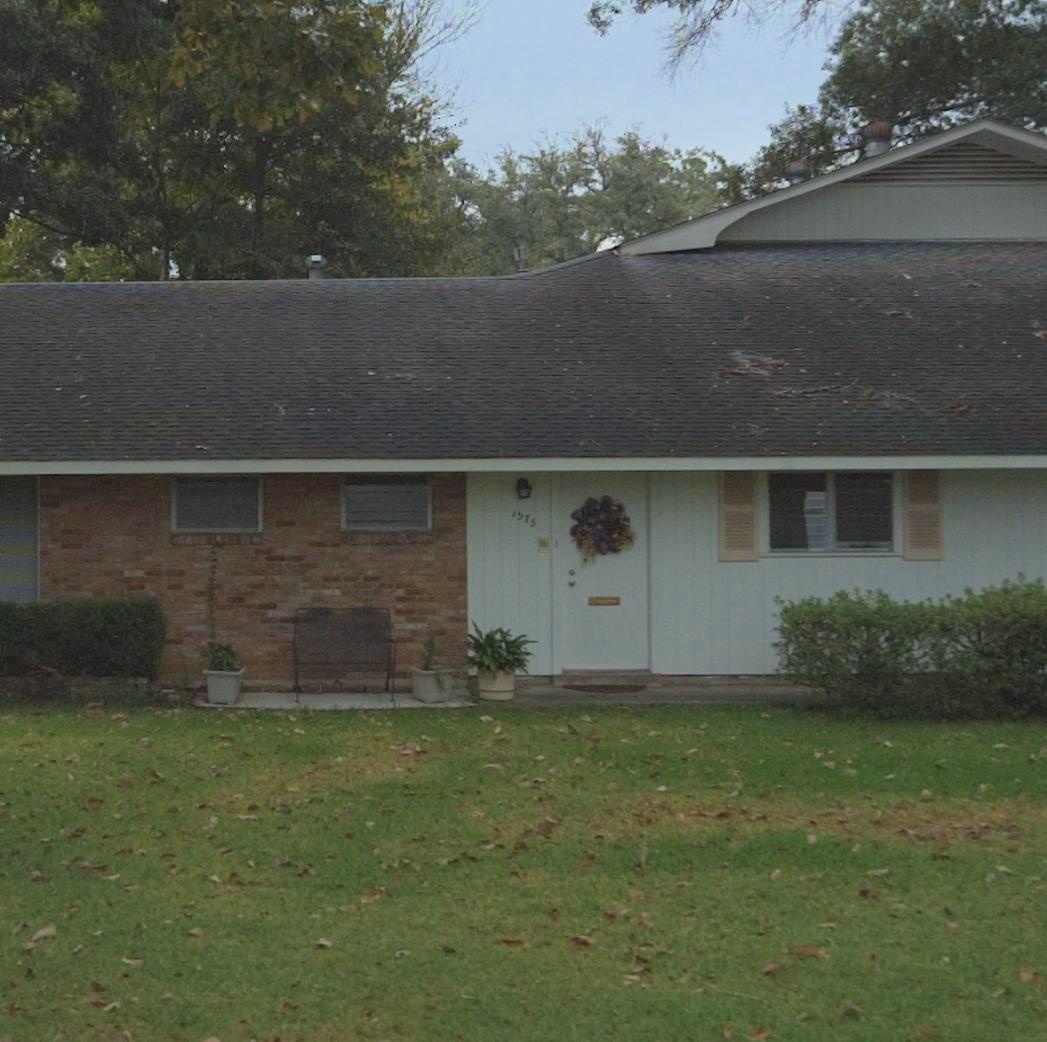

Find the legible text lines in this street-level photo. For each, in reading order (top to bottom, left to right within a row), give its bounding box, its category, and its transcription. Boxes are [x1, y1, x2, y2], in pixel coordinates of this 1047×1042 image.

[511, 509, 537, 528] StreetNumber: 1575